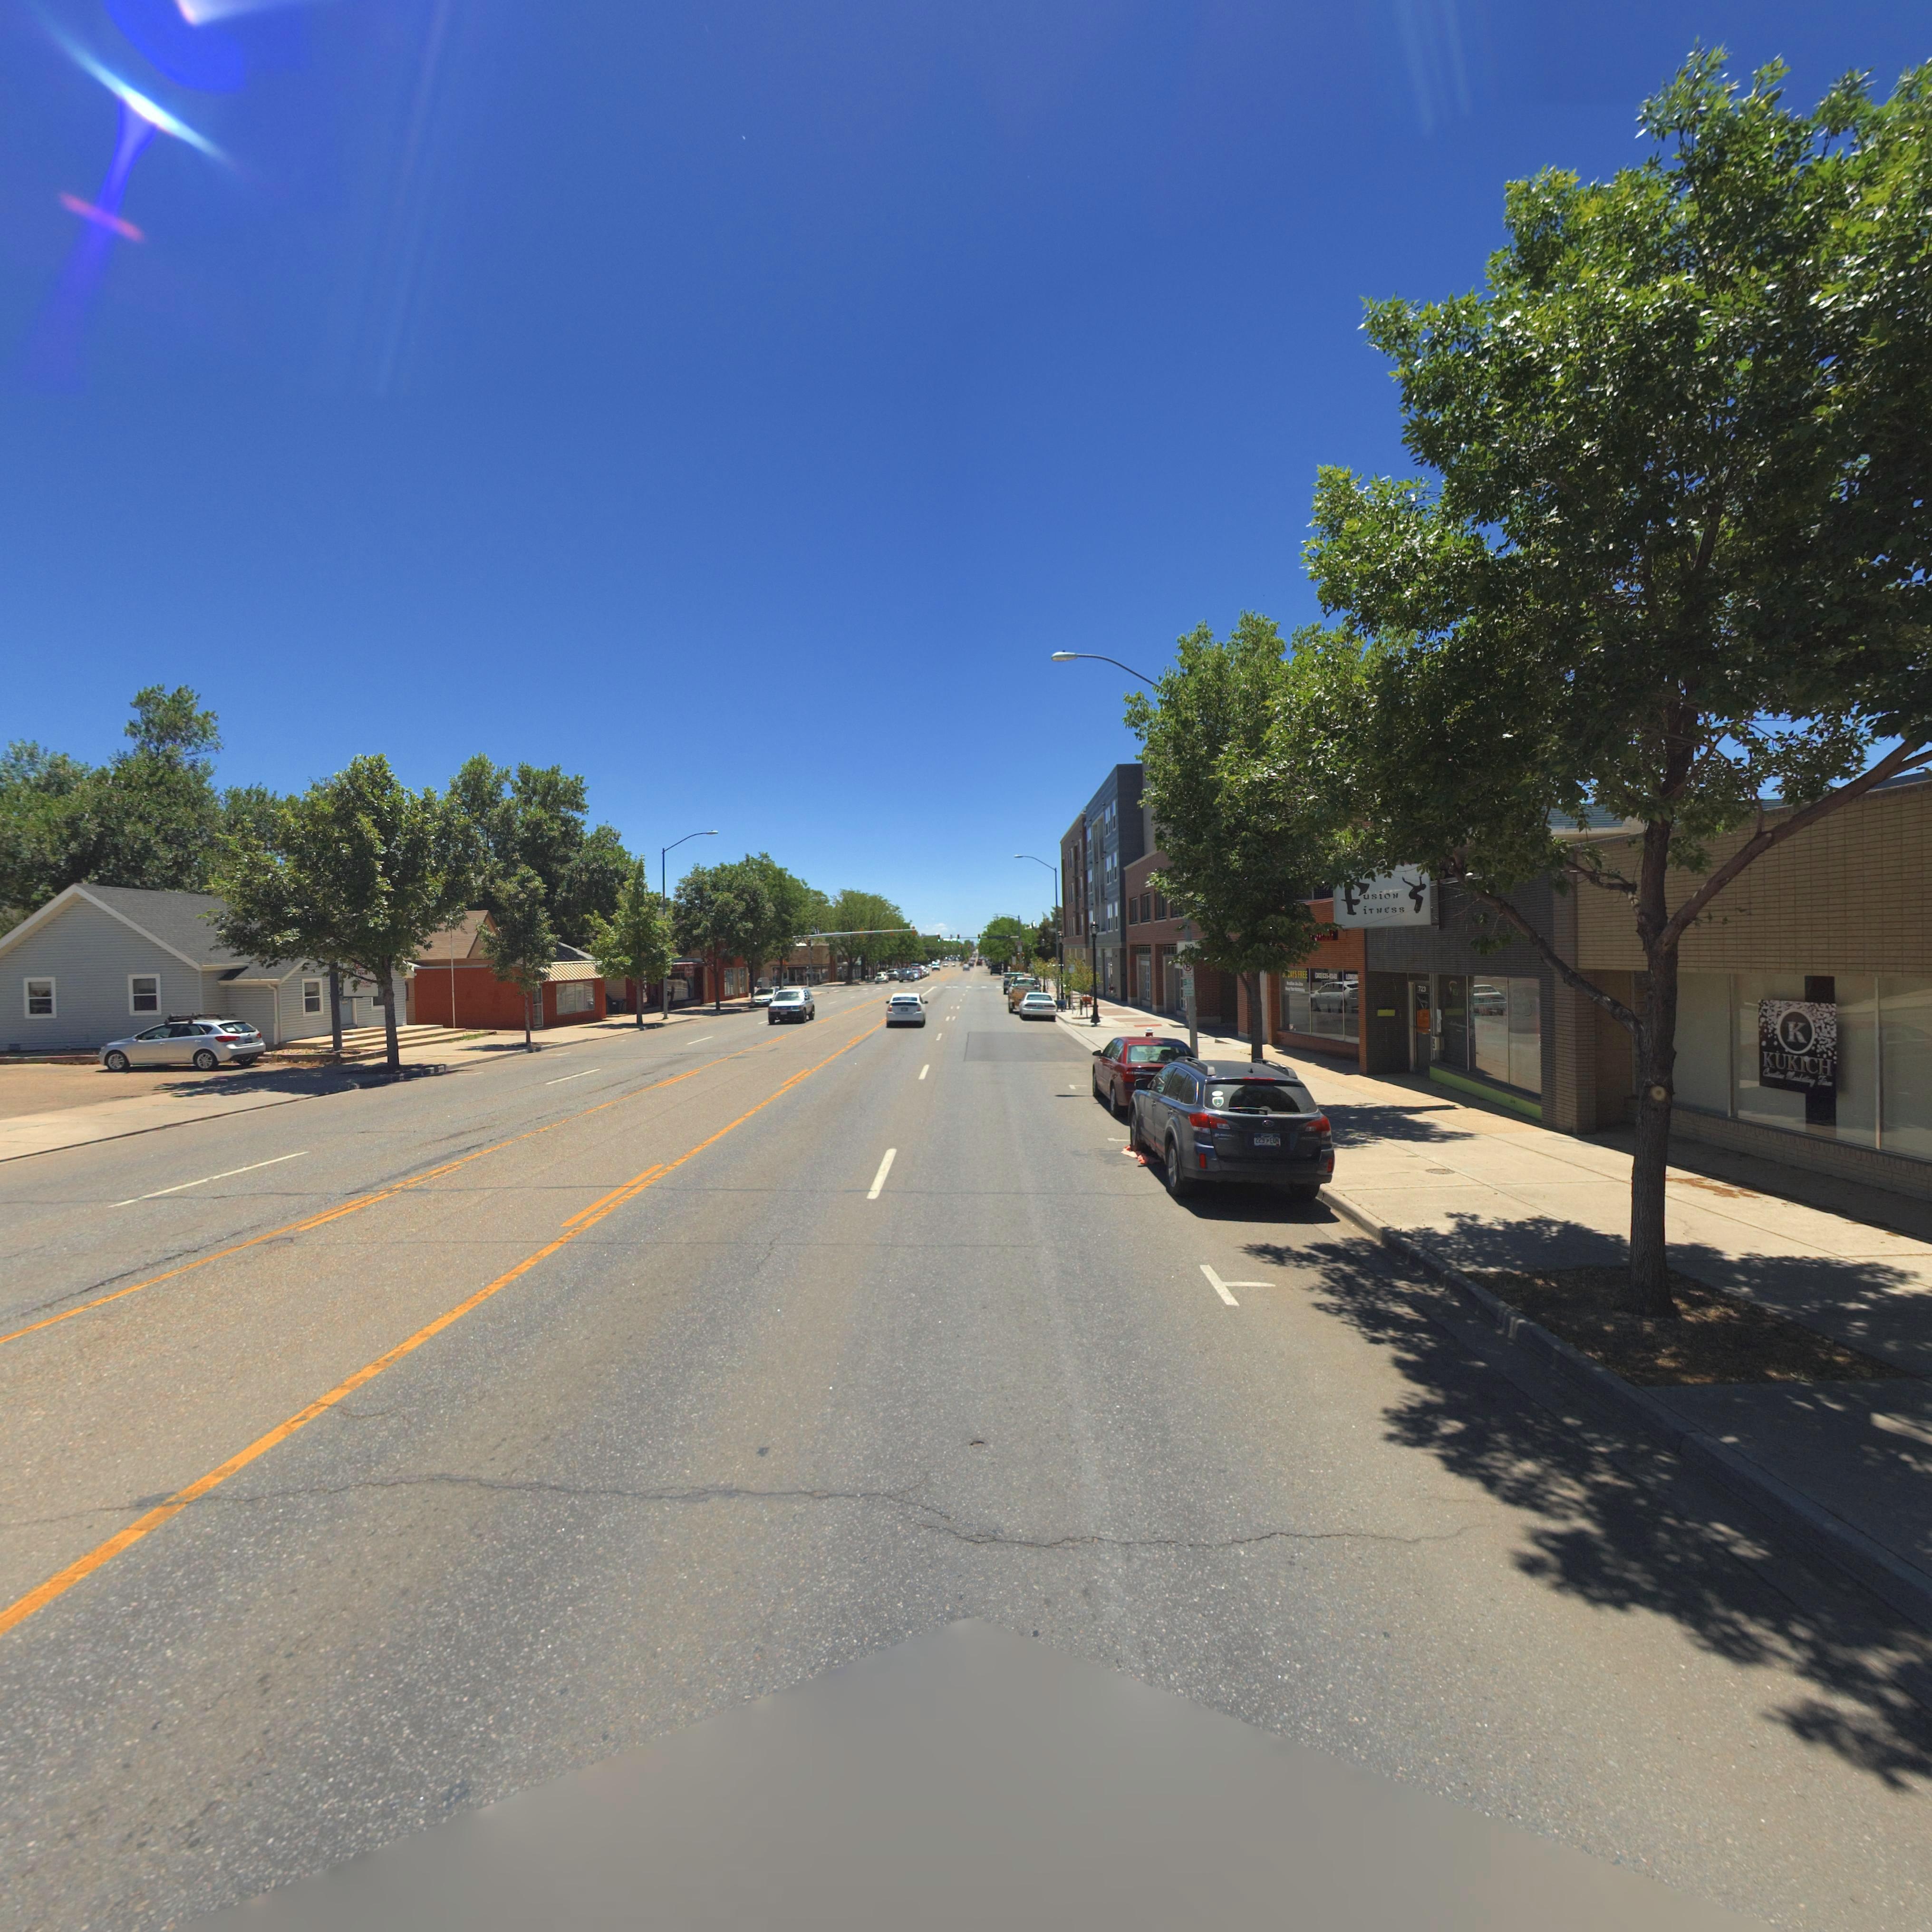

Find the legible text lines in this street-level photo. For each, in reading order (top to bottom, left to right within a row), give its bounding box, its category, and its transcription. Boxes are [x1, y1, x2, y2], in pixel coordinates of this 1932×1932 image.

[1340, 879, 1371, 915] BusinessName: f
[1362, 891, 1398, 899] BusinessName: usioN
[1363, 905, 1405, 915] BusinessName: iTNEss
[1418, 985, 1426, 992] StreetNumber: 723
[1762, 1051, 1832, 1076] BusinessName: KUKICH
[1762, 1067, 1833, 1087] BusinessName: C***t*** Mark***g F***